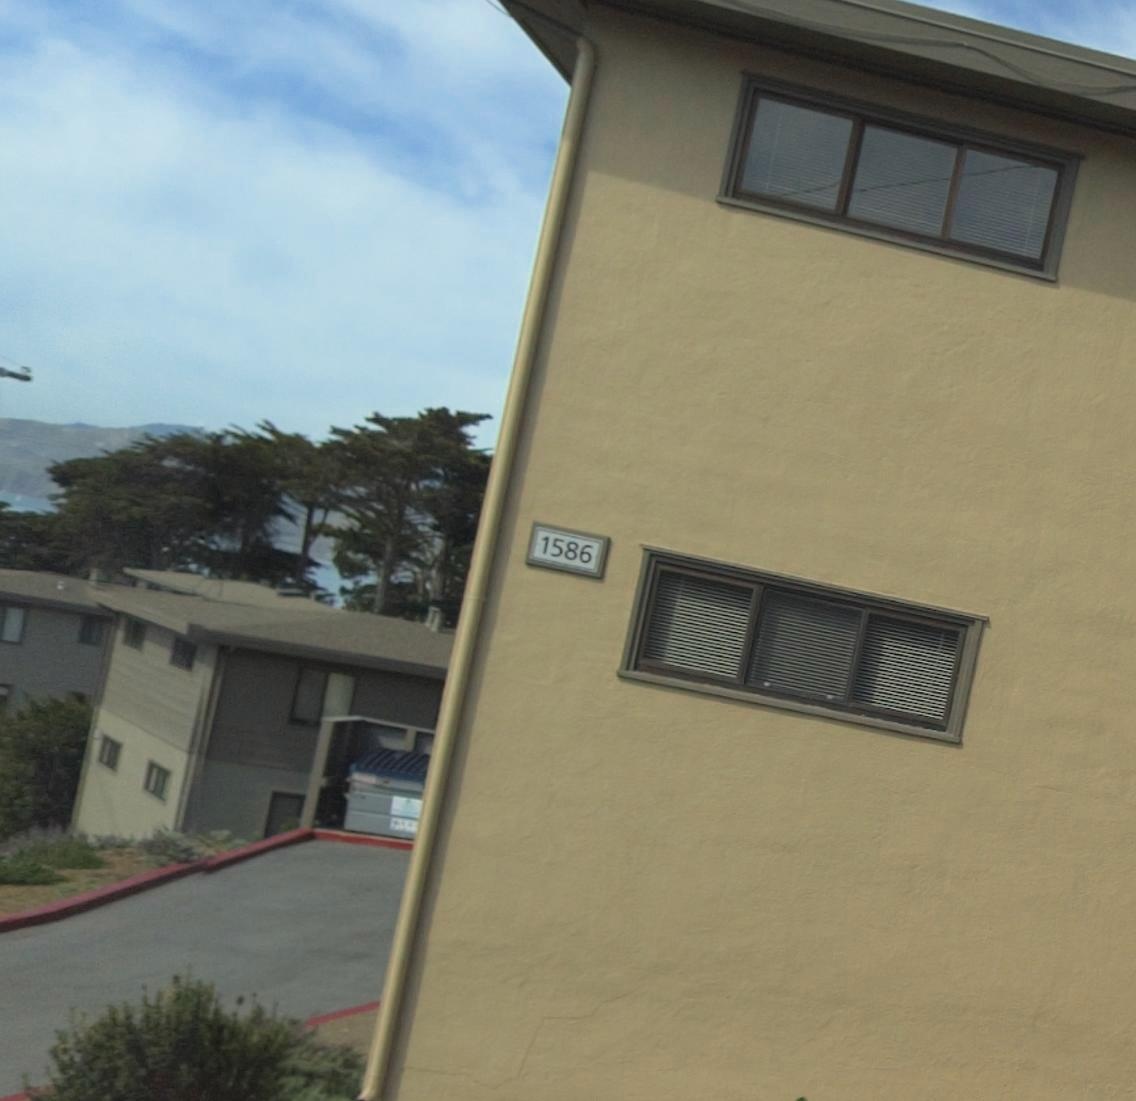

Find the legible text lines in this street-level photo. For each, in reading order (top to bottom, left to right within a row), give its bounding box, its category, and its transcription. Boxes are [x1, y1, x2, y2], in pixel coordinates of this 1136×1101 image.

[537, 533, 599, 568] StreetNumber: 1586